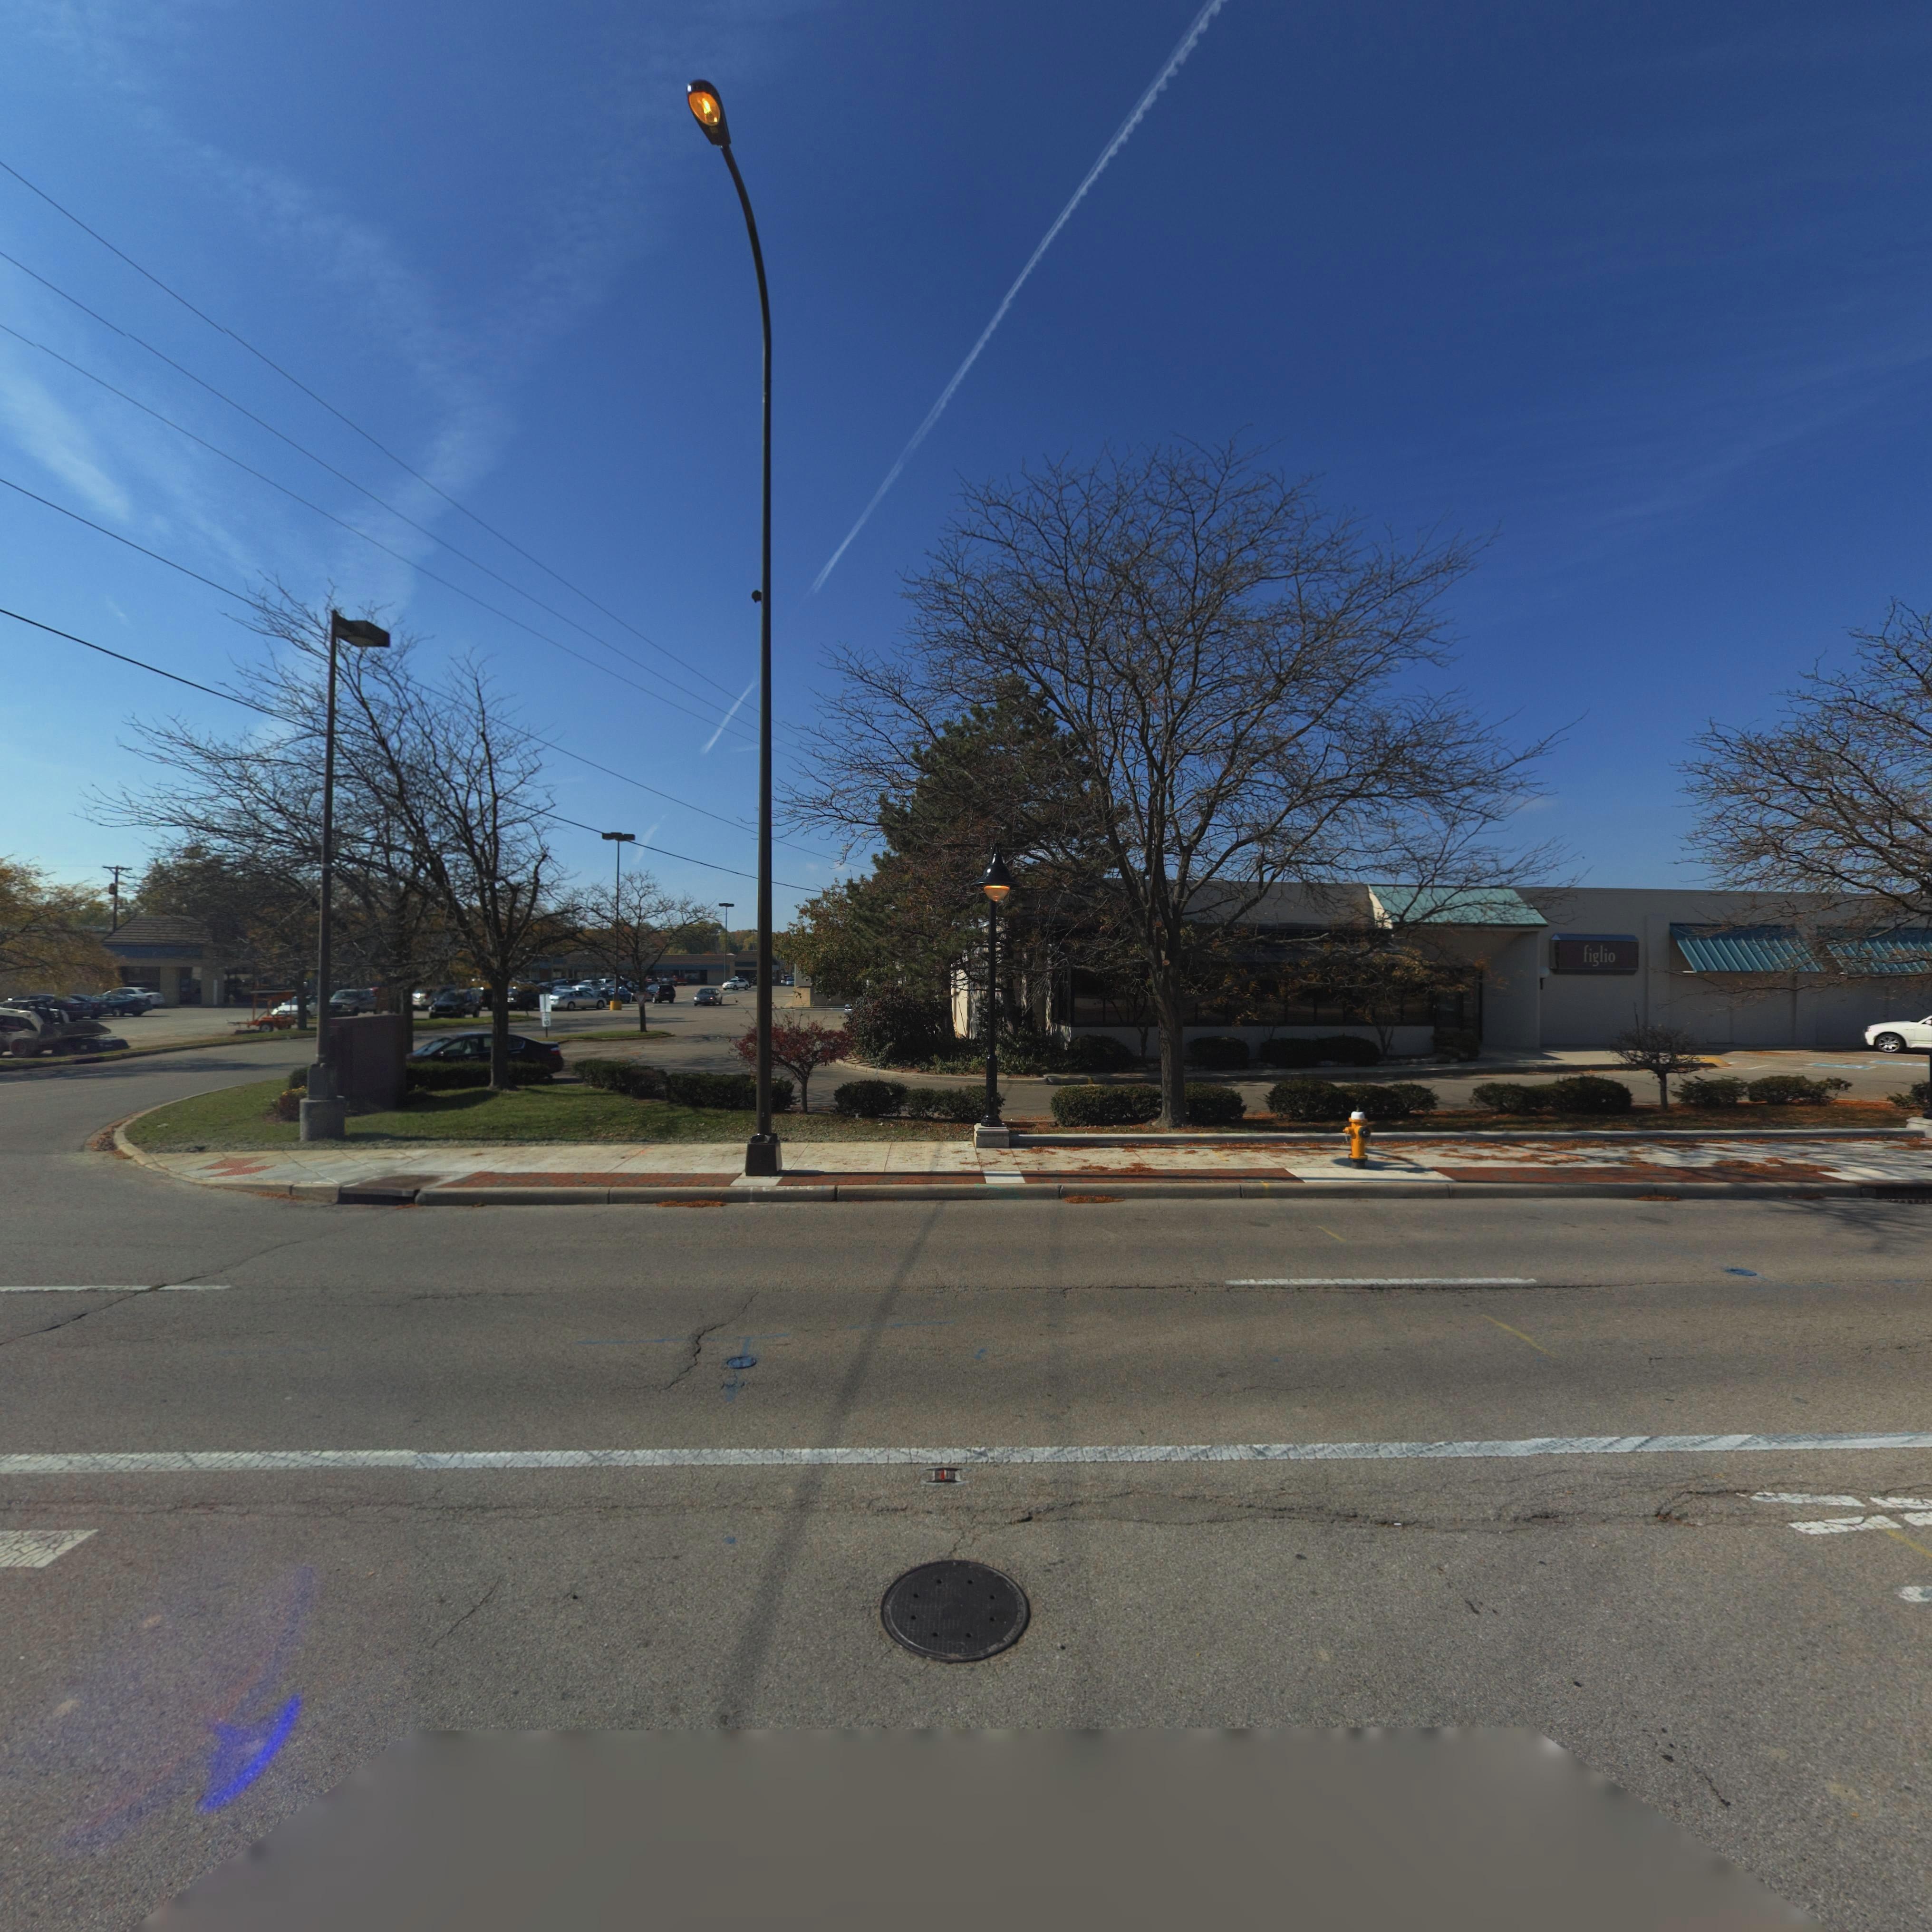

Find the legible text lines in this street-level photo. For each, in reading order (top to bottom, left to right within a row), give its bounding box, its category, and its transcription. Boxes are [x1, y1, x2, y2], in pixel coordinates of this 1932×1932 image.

[1583, 944, 1616, 967] BusinessName: figlio
[543, 1020, 550, 1026] None: 10